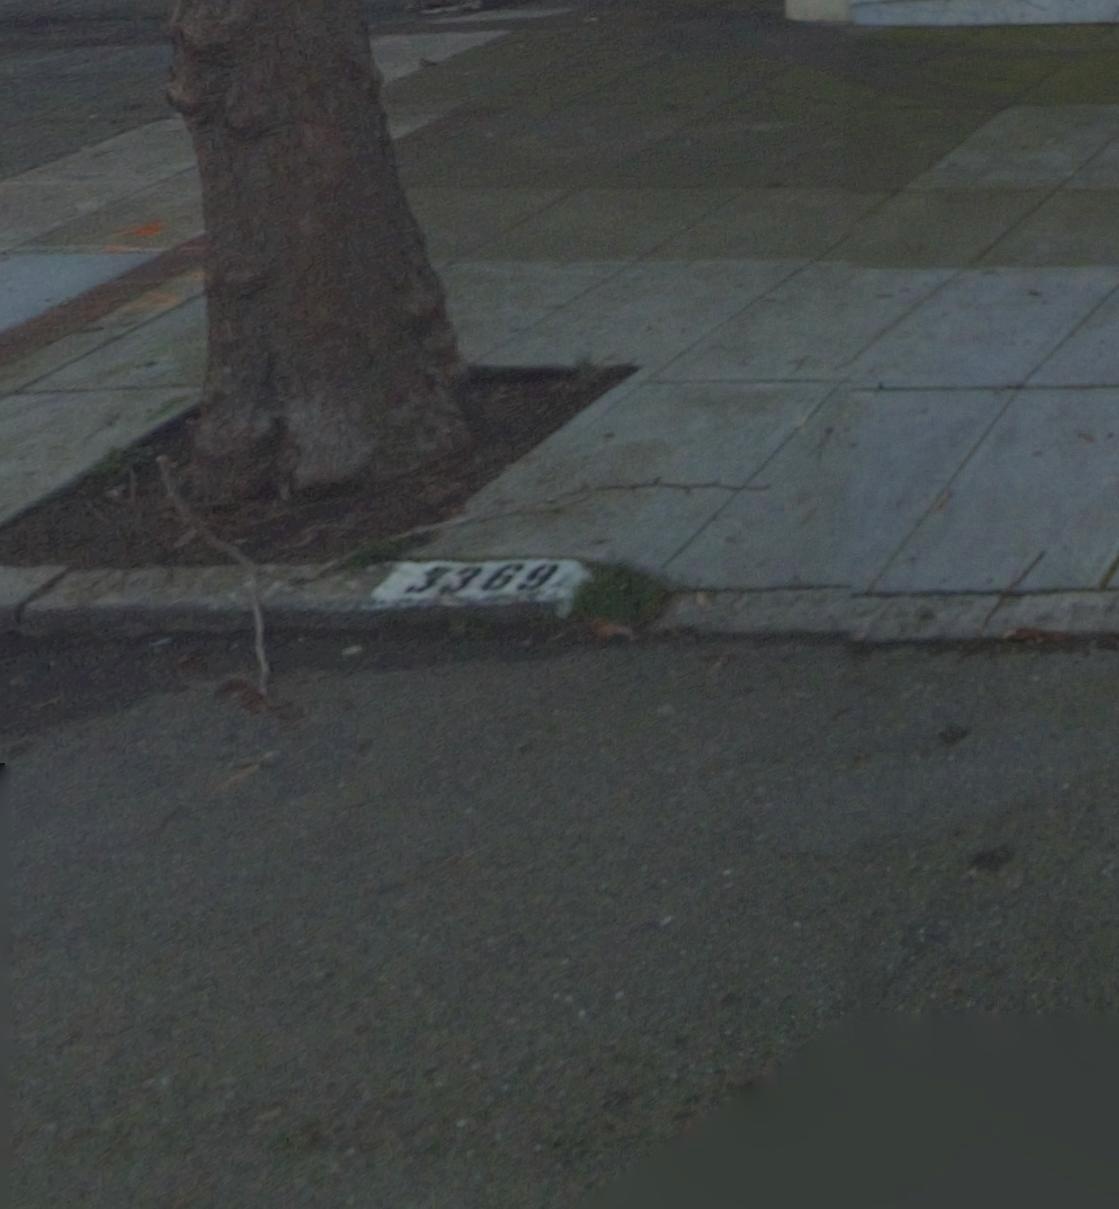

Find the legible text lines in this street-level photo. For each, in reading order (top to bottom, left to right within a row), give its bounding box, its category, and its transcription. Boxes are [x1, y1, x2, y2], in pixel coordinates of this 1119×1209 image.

[399, 559, 562, 599] StreetNumber: 3369